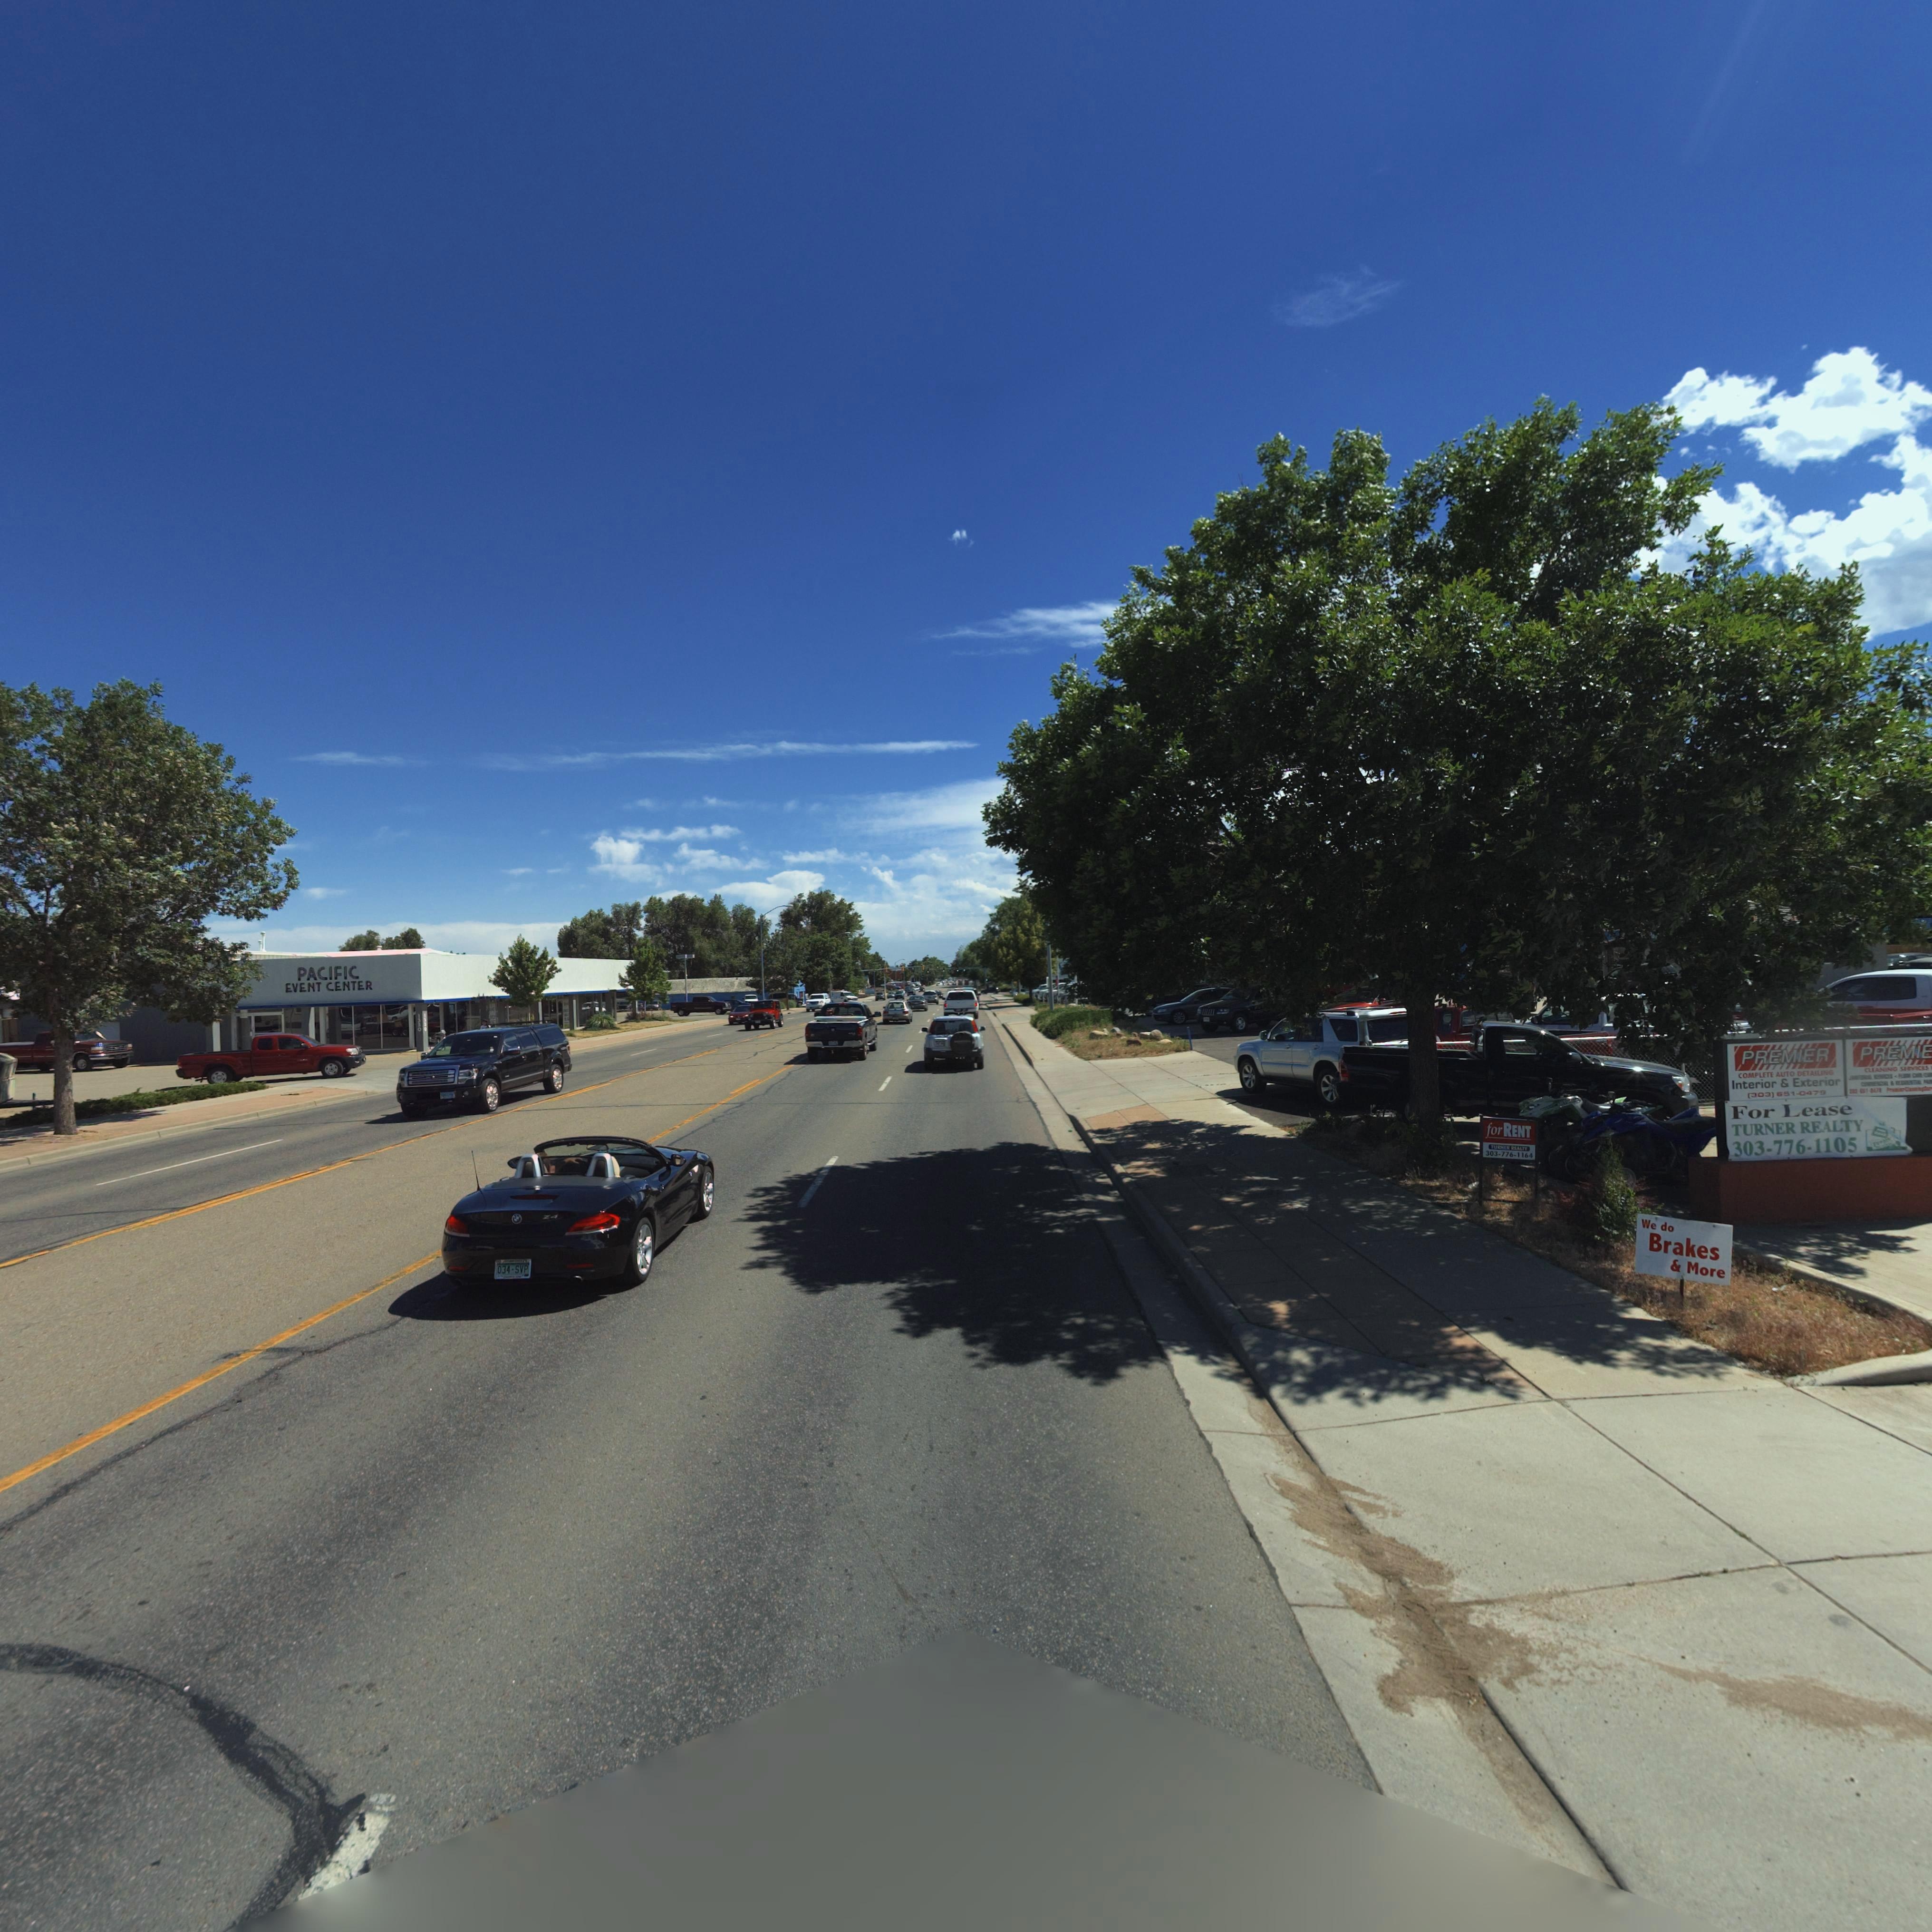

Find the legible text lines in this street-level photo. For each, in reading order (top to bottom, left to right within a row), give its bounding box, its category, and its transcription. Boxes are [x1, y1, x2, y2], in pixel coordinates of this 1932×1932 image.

[297, 965, 359, 981] BusinessName: PACIFIC
[285, 979, 373, 993] BusinessName: EVENT CENTER
[417, 1013, 422, 1032] StreetNumber: 13*0
[423, 1013, 427, 1032] StreetNumber: 1*3*
[1741, 1048, 1828, 1065] BusinessName: PREMIER
[1860, 1044, 1930, 1061] BusinessName: PREMI*